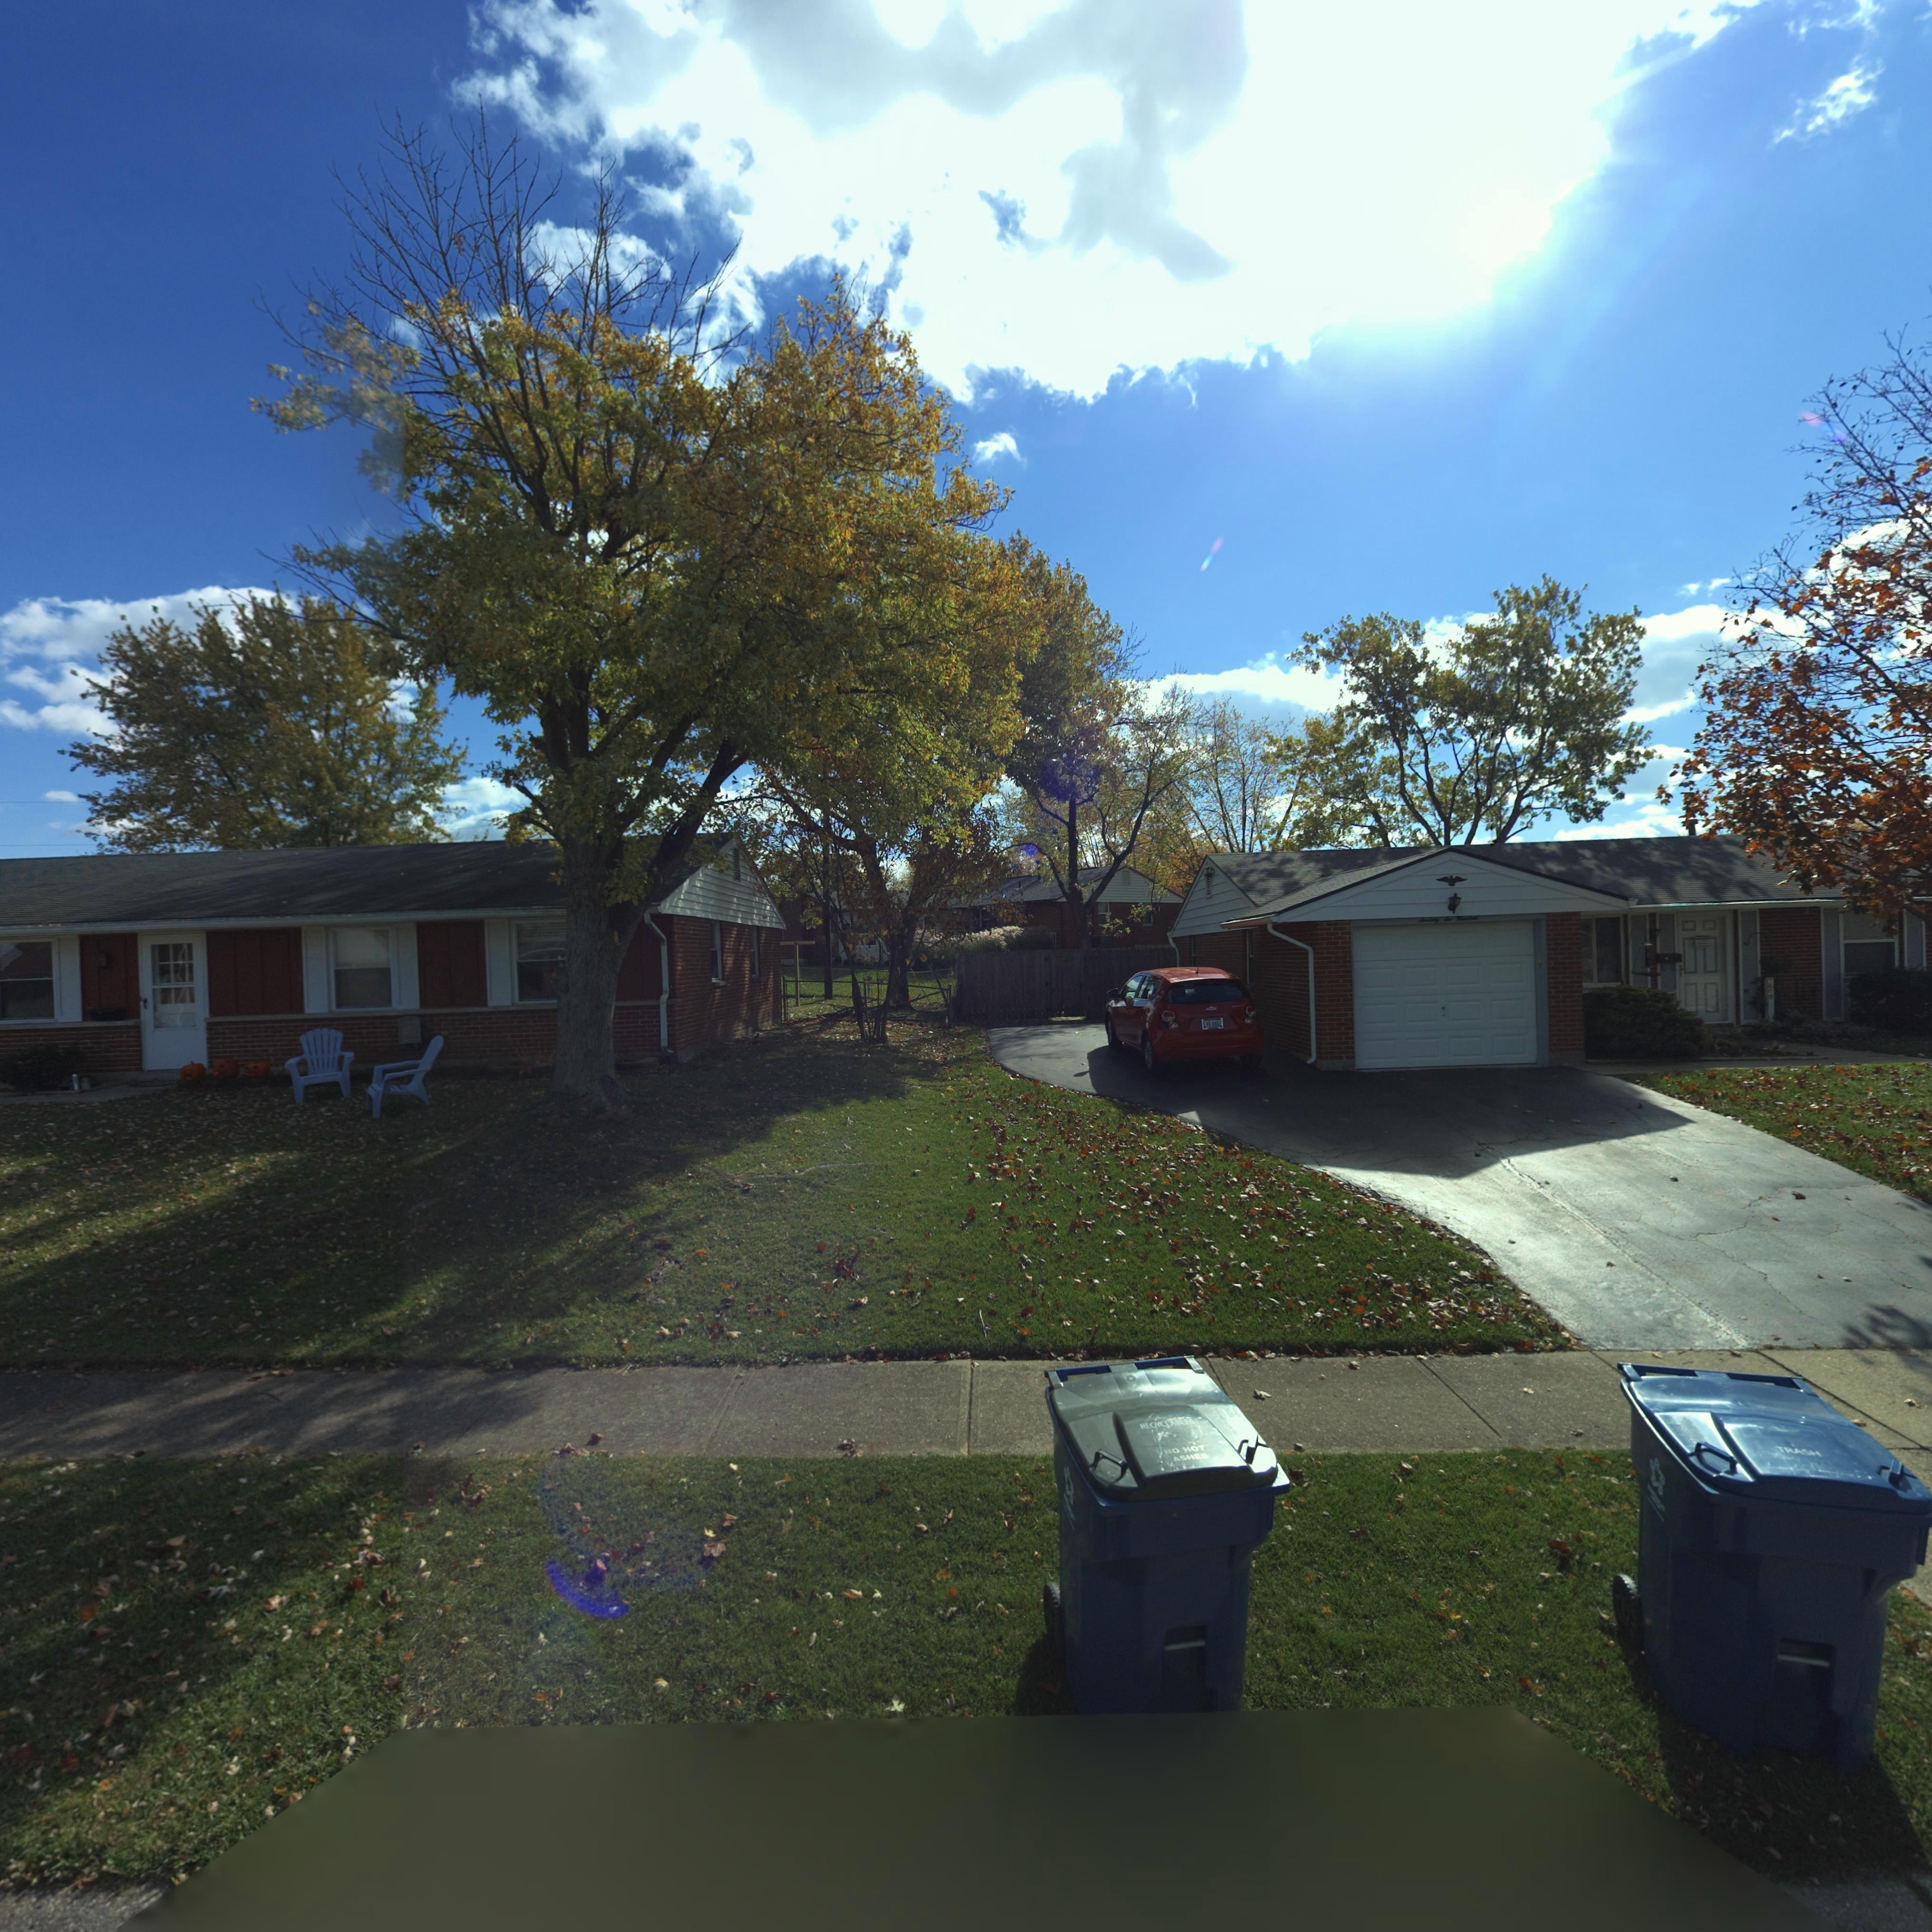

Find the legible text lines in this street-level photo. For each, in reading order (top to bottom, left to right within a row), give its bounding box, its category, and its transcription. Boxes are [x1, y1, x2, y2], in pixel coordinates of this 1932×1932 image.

[1419, 915, 1479, 924] StreetNumber: Seventy Six Hundred
[1767, 976, 1774, 1001] StreetNumber: 7600